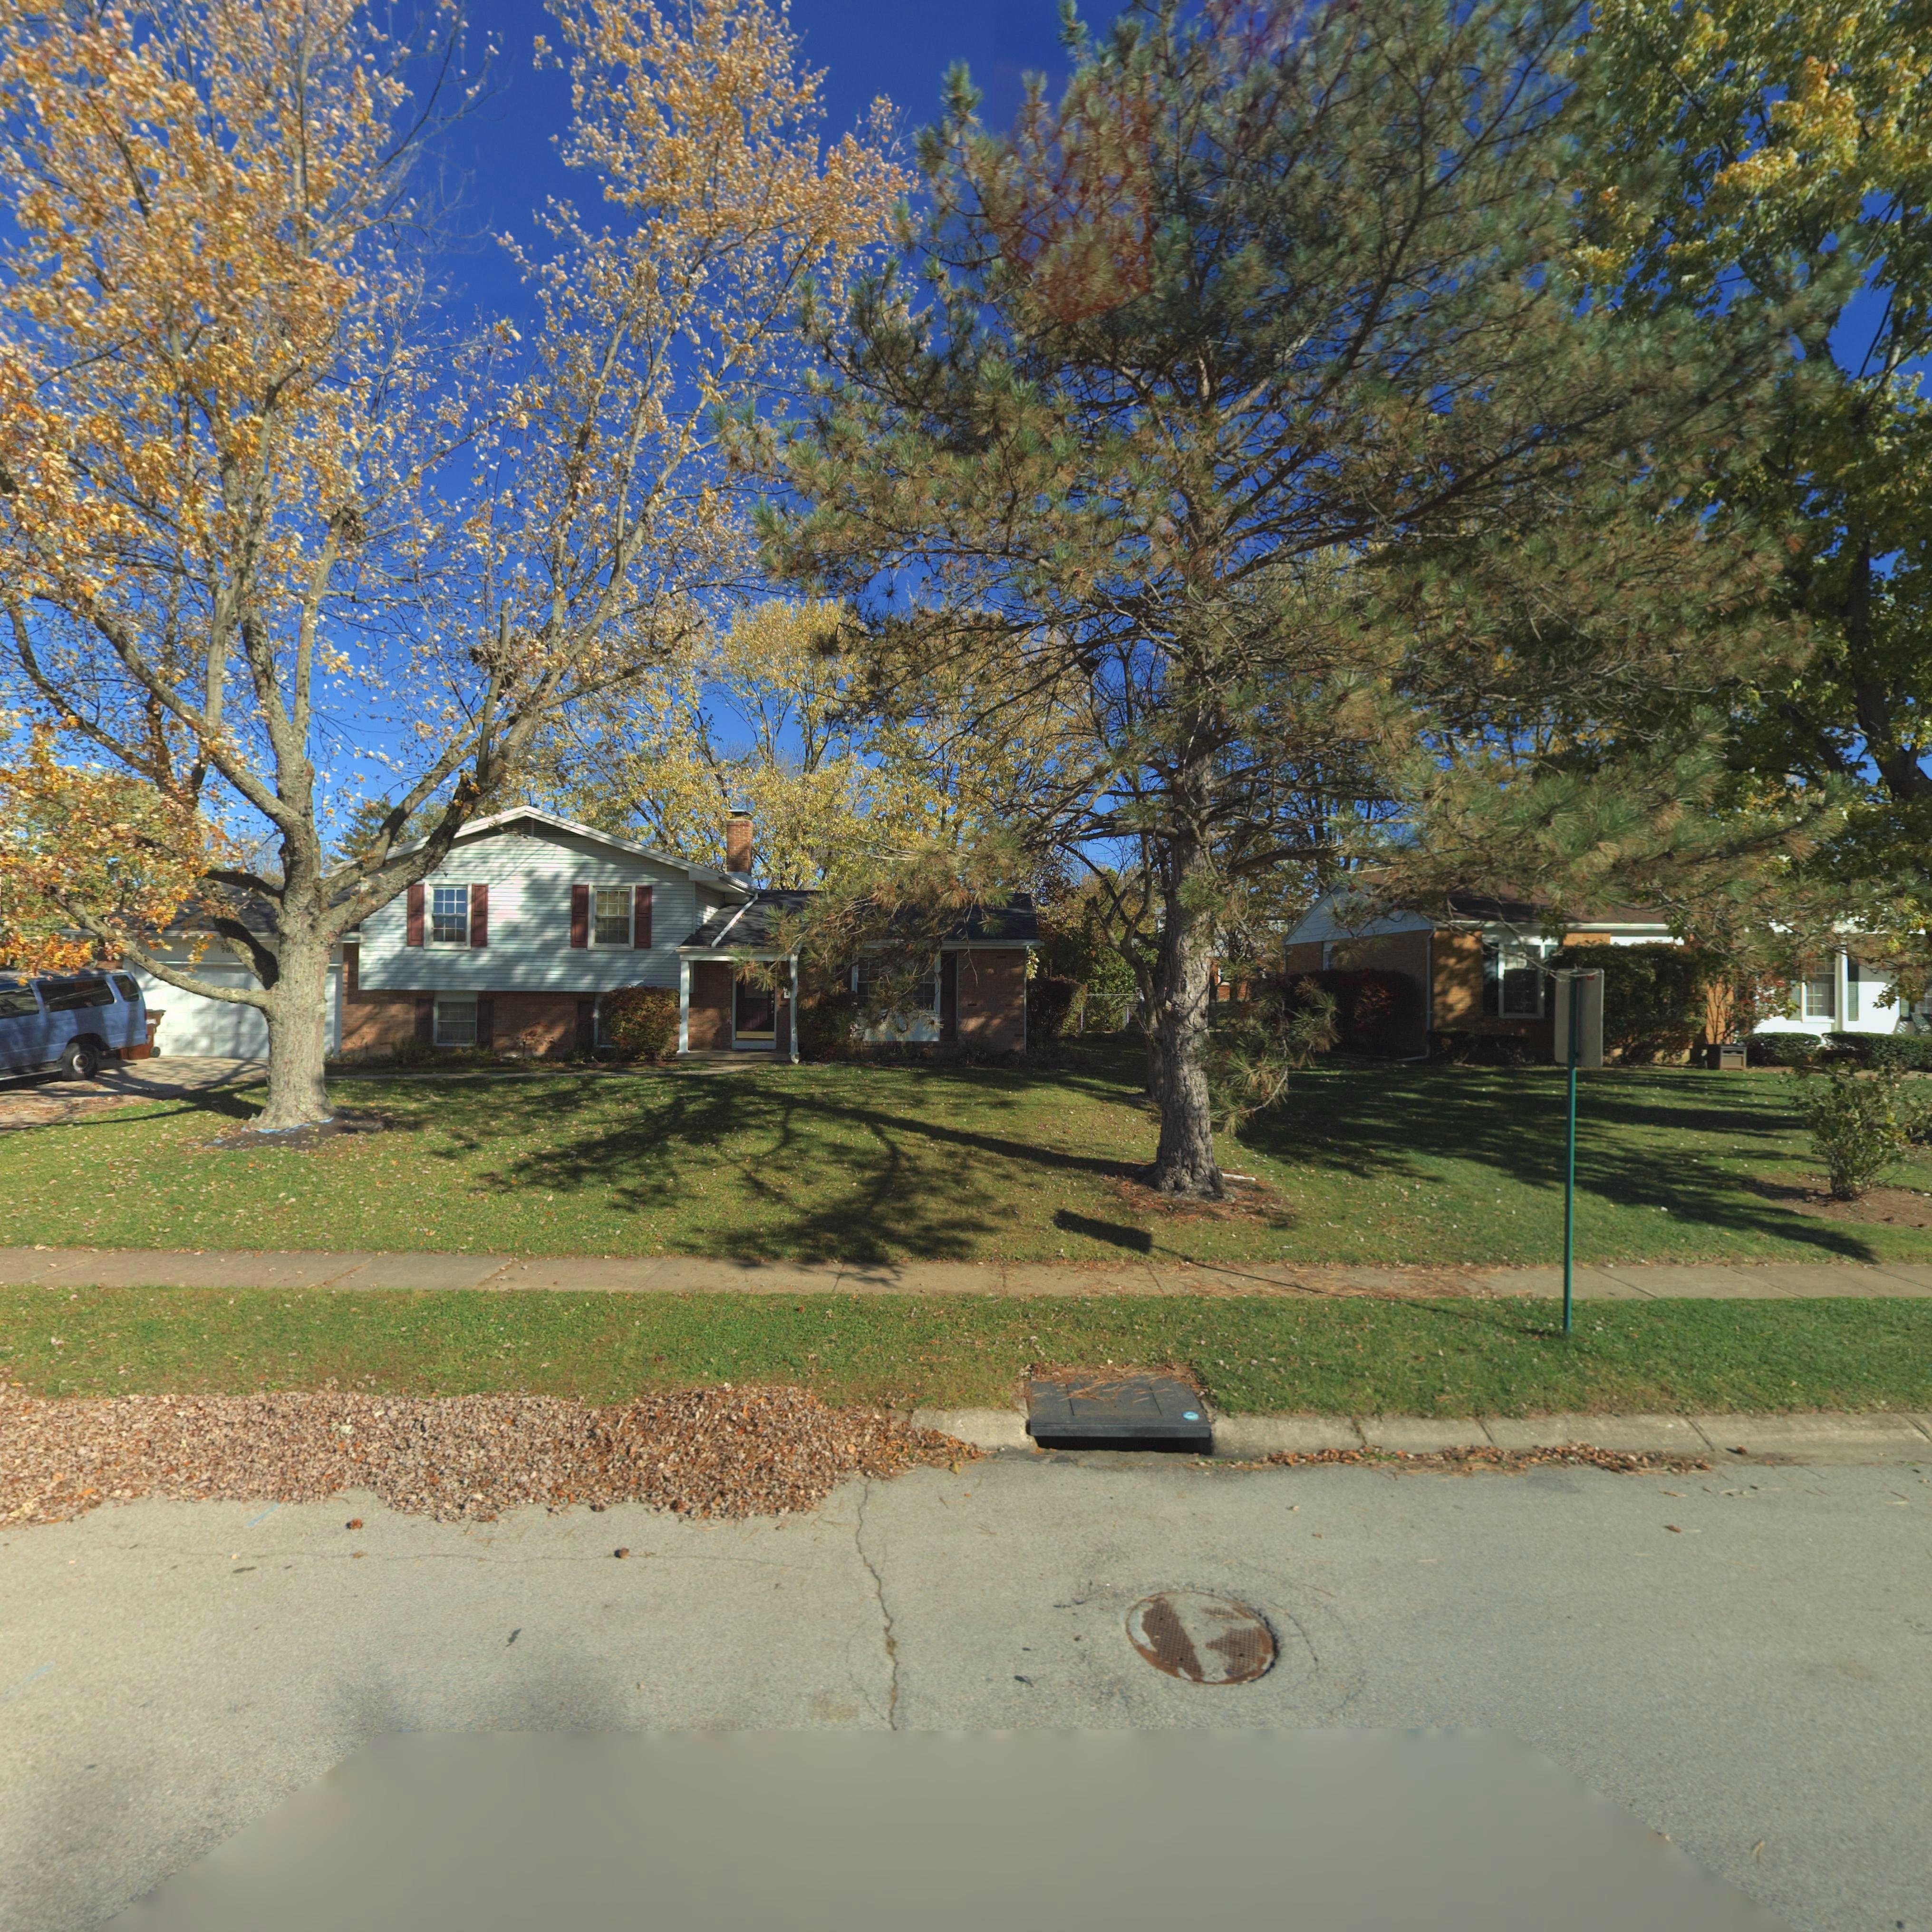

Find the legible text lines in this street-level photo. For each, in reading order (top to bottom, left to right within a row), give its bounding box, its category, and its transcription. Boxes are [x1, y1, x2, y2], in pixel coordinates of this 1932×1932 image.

[220, 946, 232, 955] StreetNumber: 70